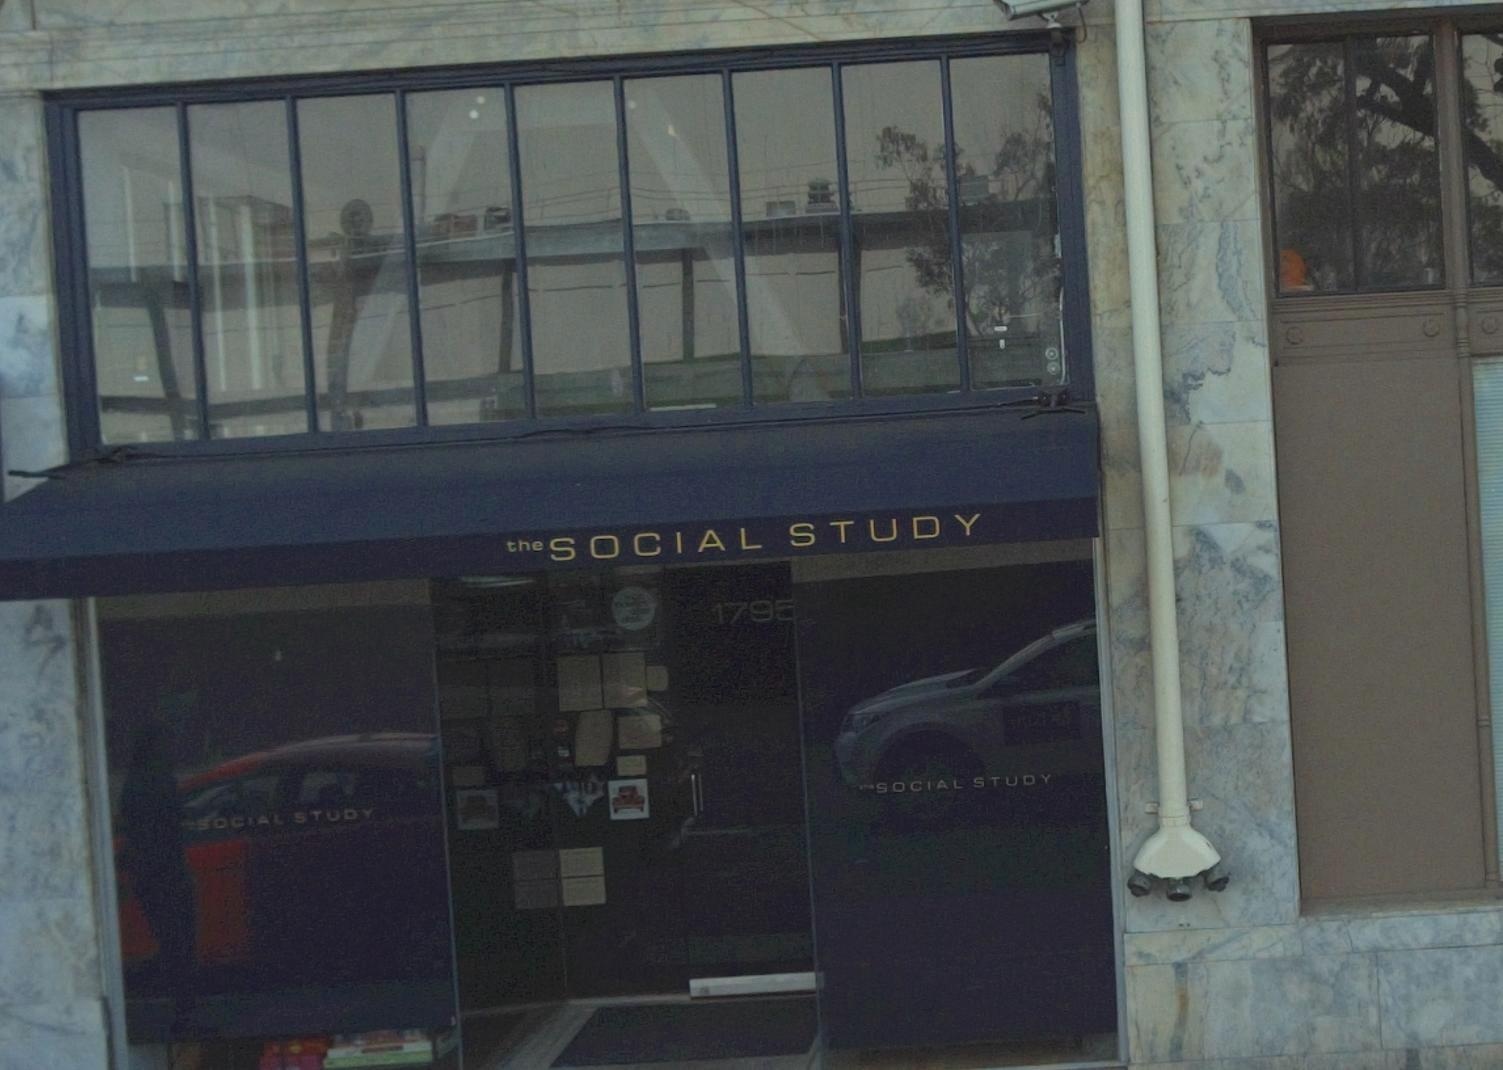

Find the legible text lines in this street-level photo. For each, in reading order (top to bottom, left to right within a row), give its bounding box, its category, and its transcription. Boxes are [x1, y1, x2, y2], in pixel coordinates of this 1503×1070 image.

[503, 511, 987, 564] BusinessName: the SOCIAL STUDY
[709, 595, 805, 630] StreetNumber: 179*
[872, 770, 1055, 796] BusinessName: SOCAIL STUDY
[193, 803, 380, 833] BusinessName: SOCAIL STUDY